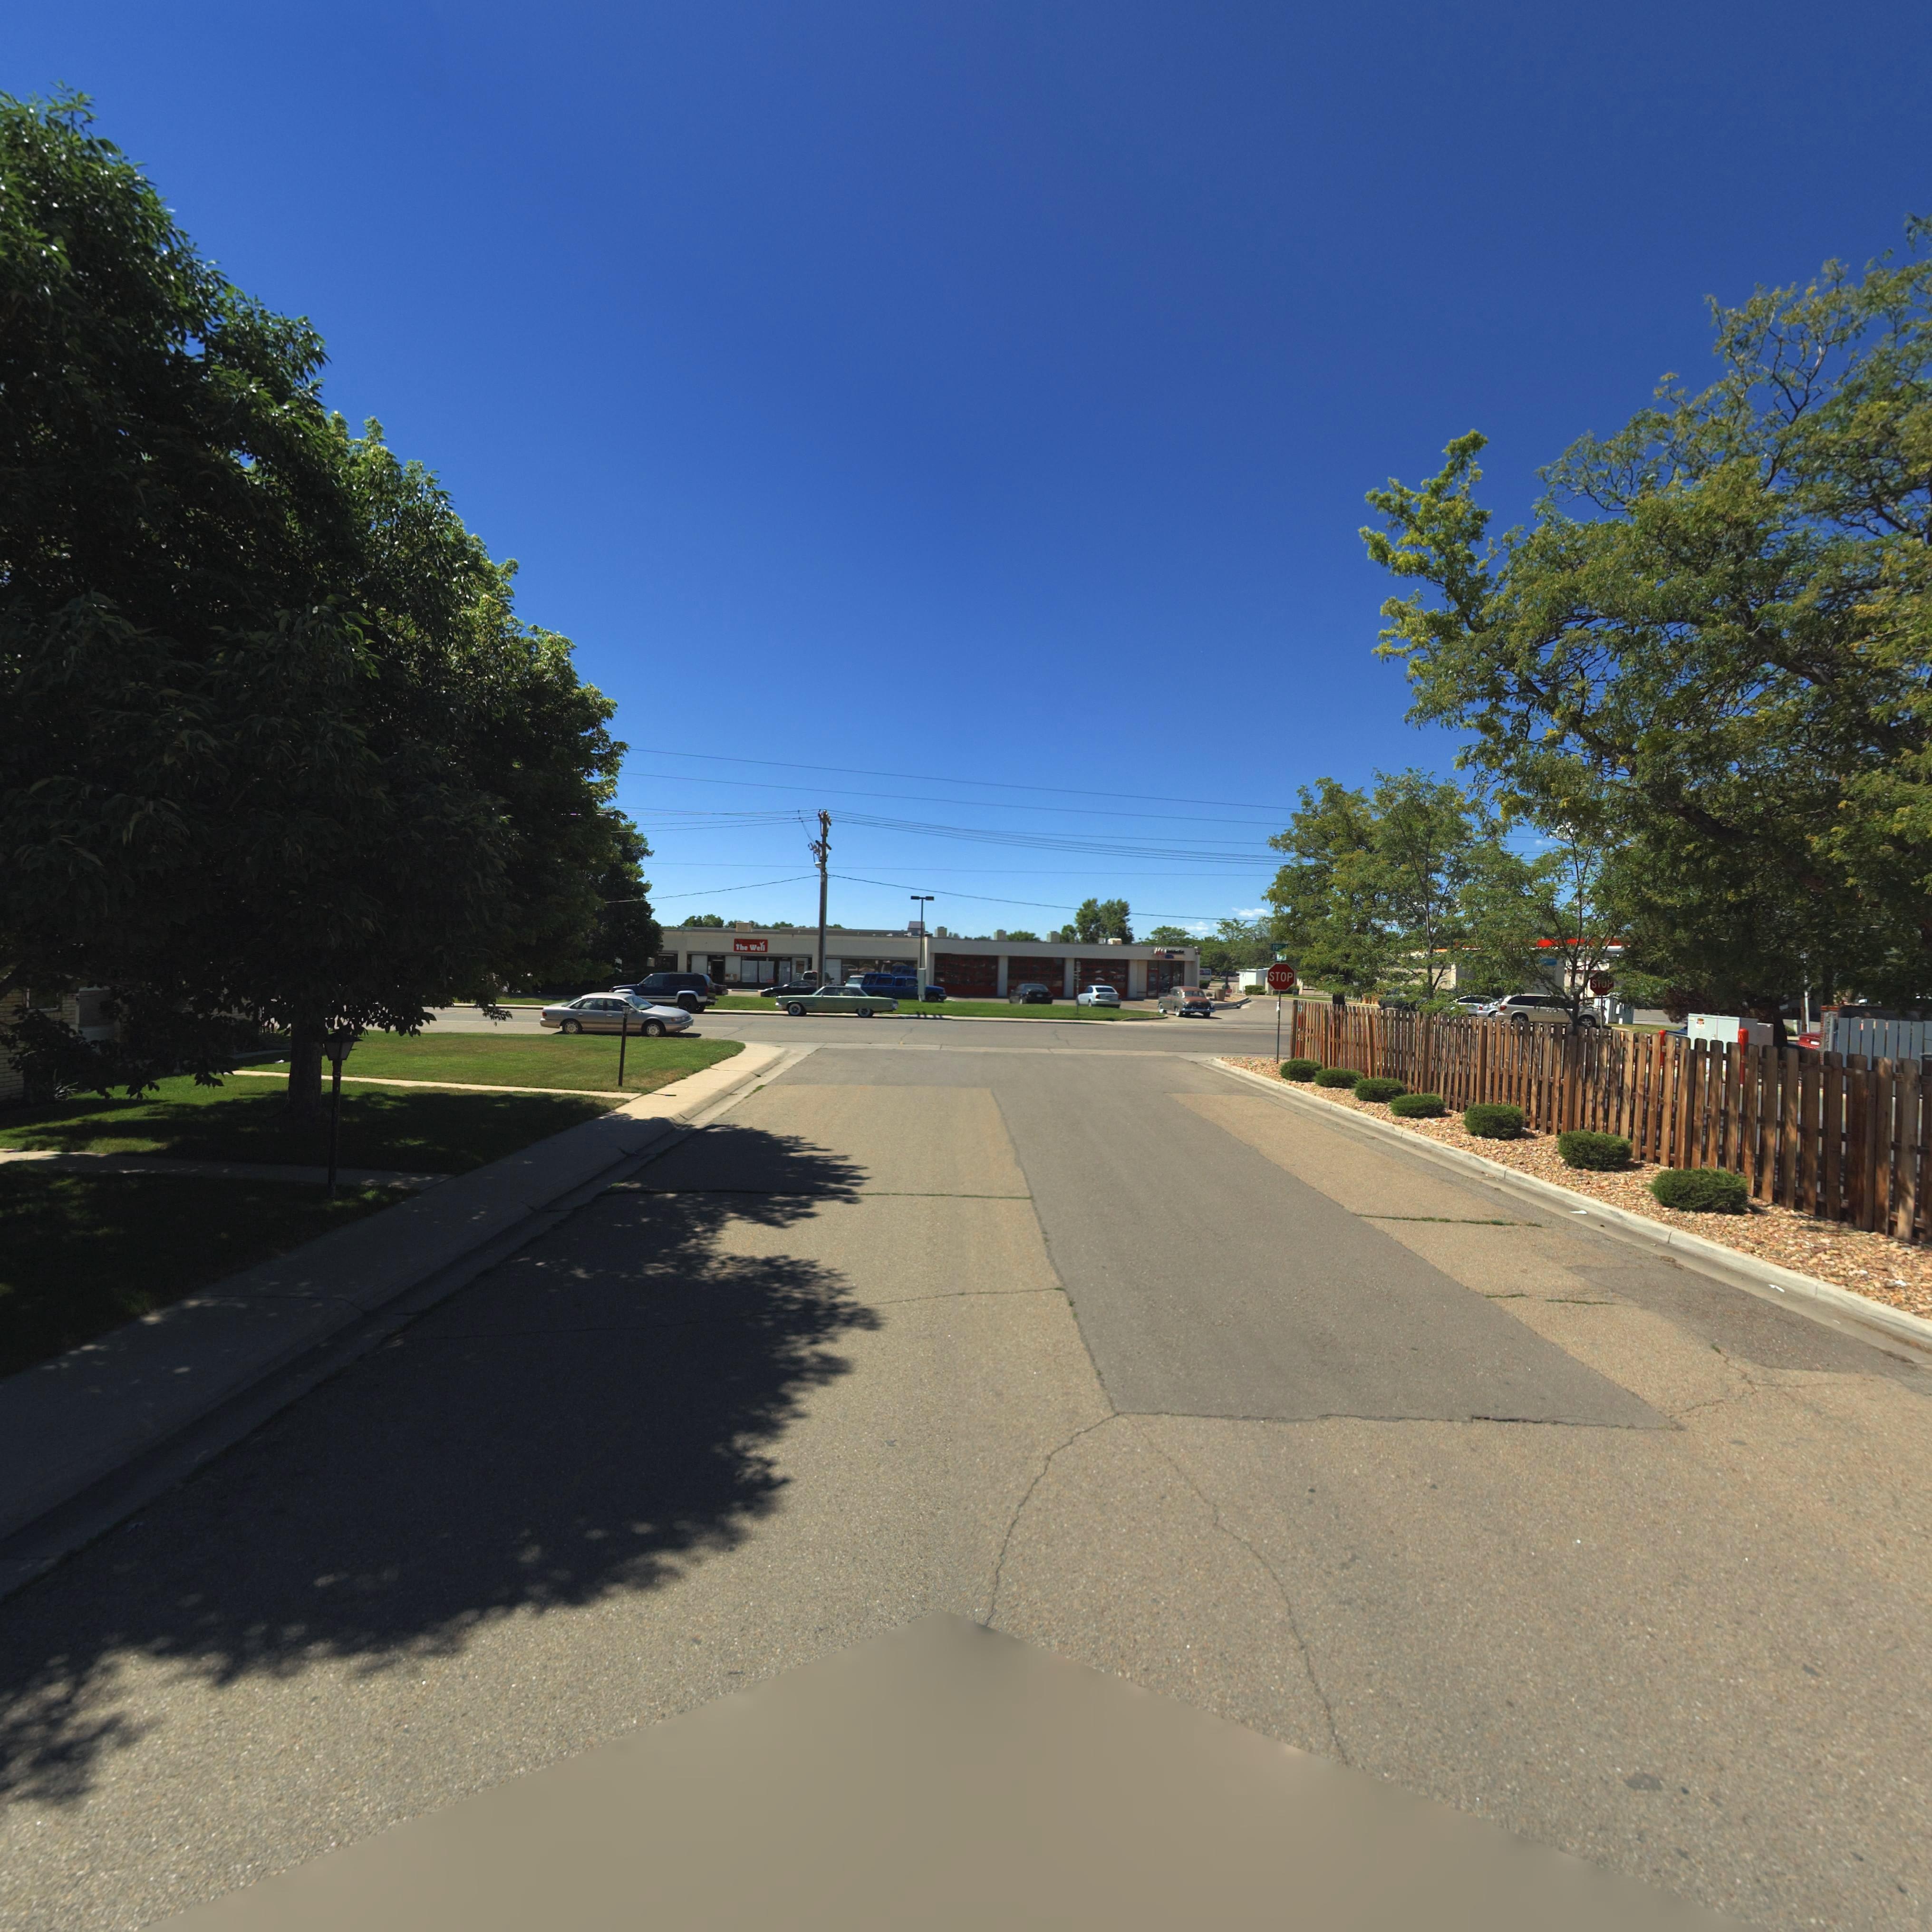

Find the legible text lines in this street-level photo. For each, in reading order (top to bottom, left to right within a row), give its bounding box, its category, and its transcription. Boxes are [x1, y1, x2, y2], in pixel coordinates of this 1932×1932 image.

[735, 941, 765, 951] BusinessName: The We*
[1273, 944, 1287, 950] StreetName: 19th *
[1592, 980, 1607, 988] StreetNumber: 510